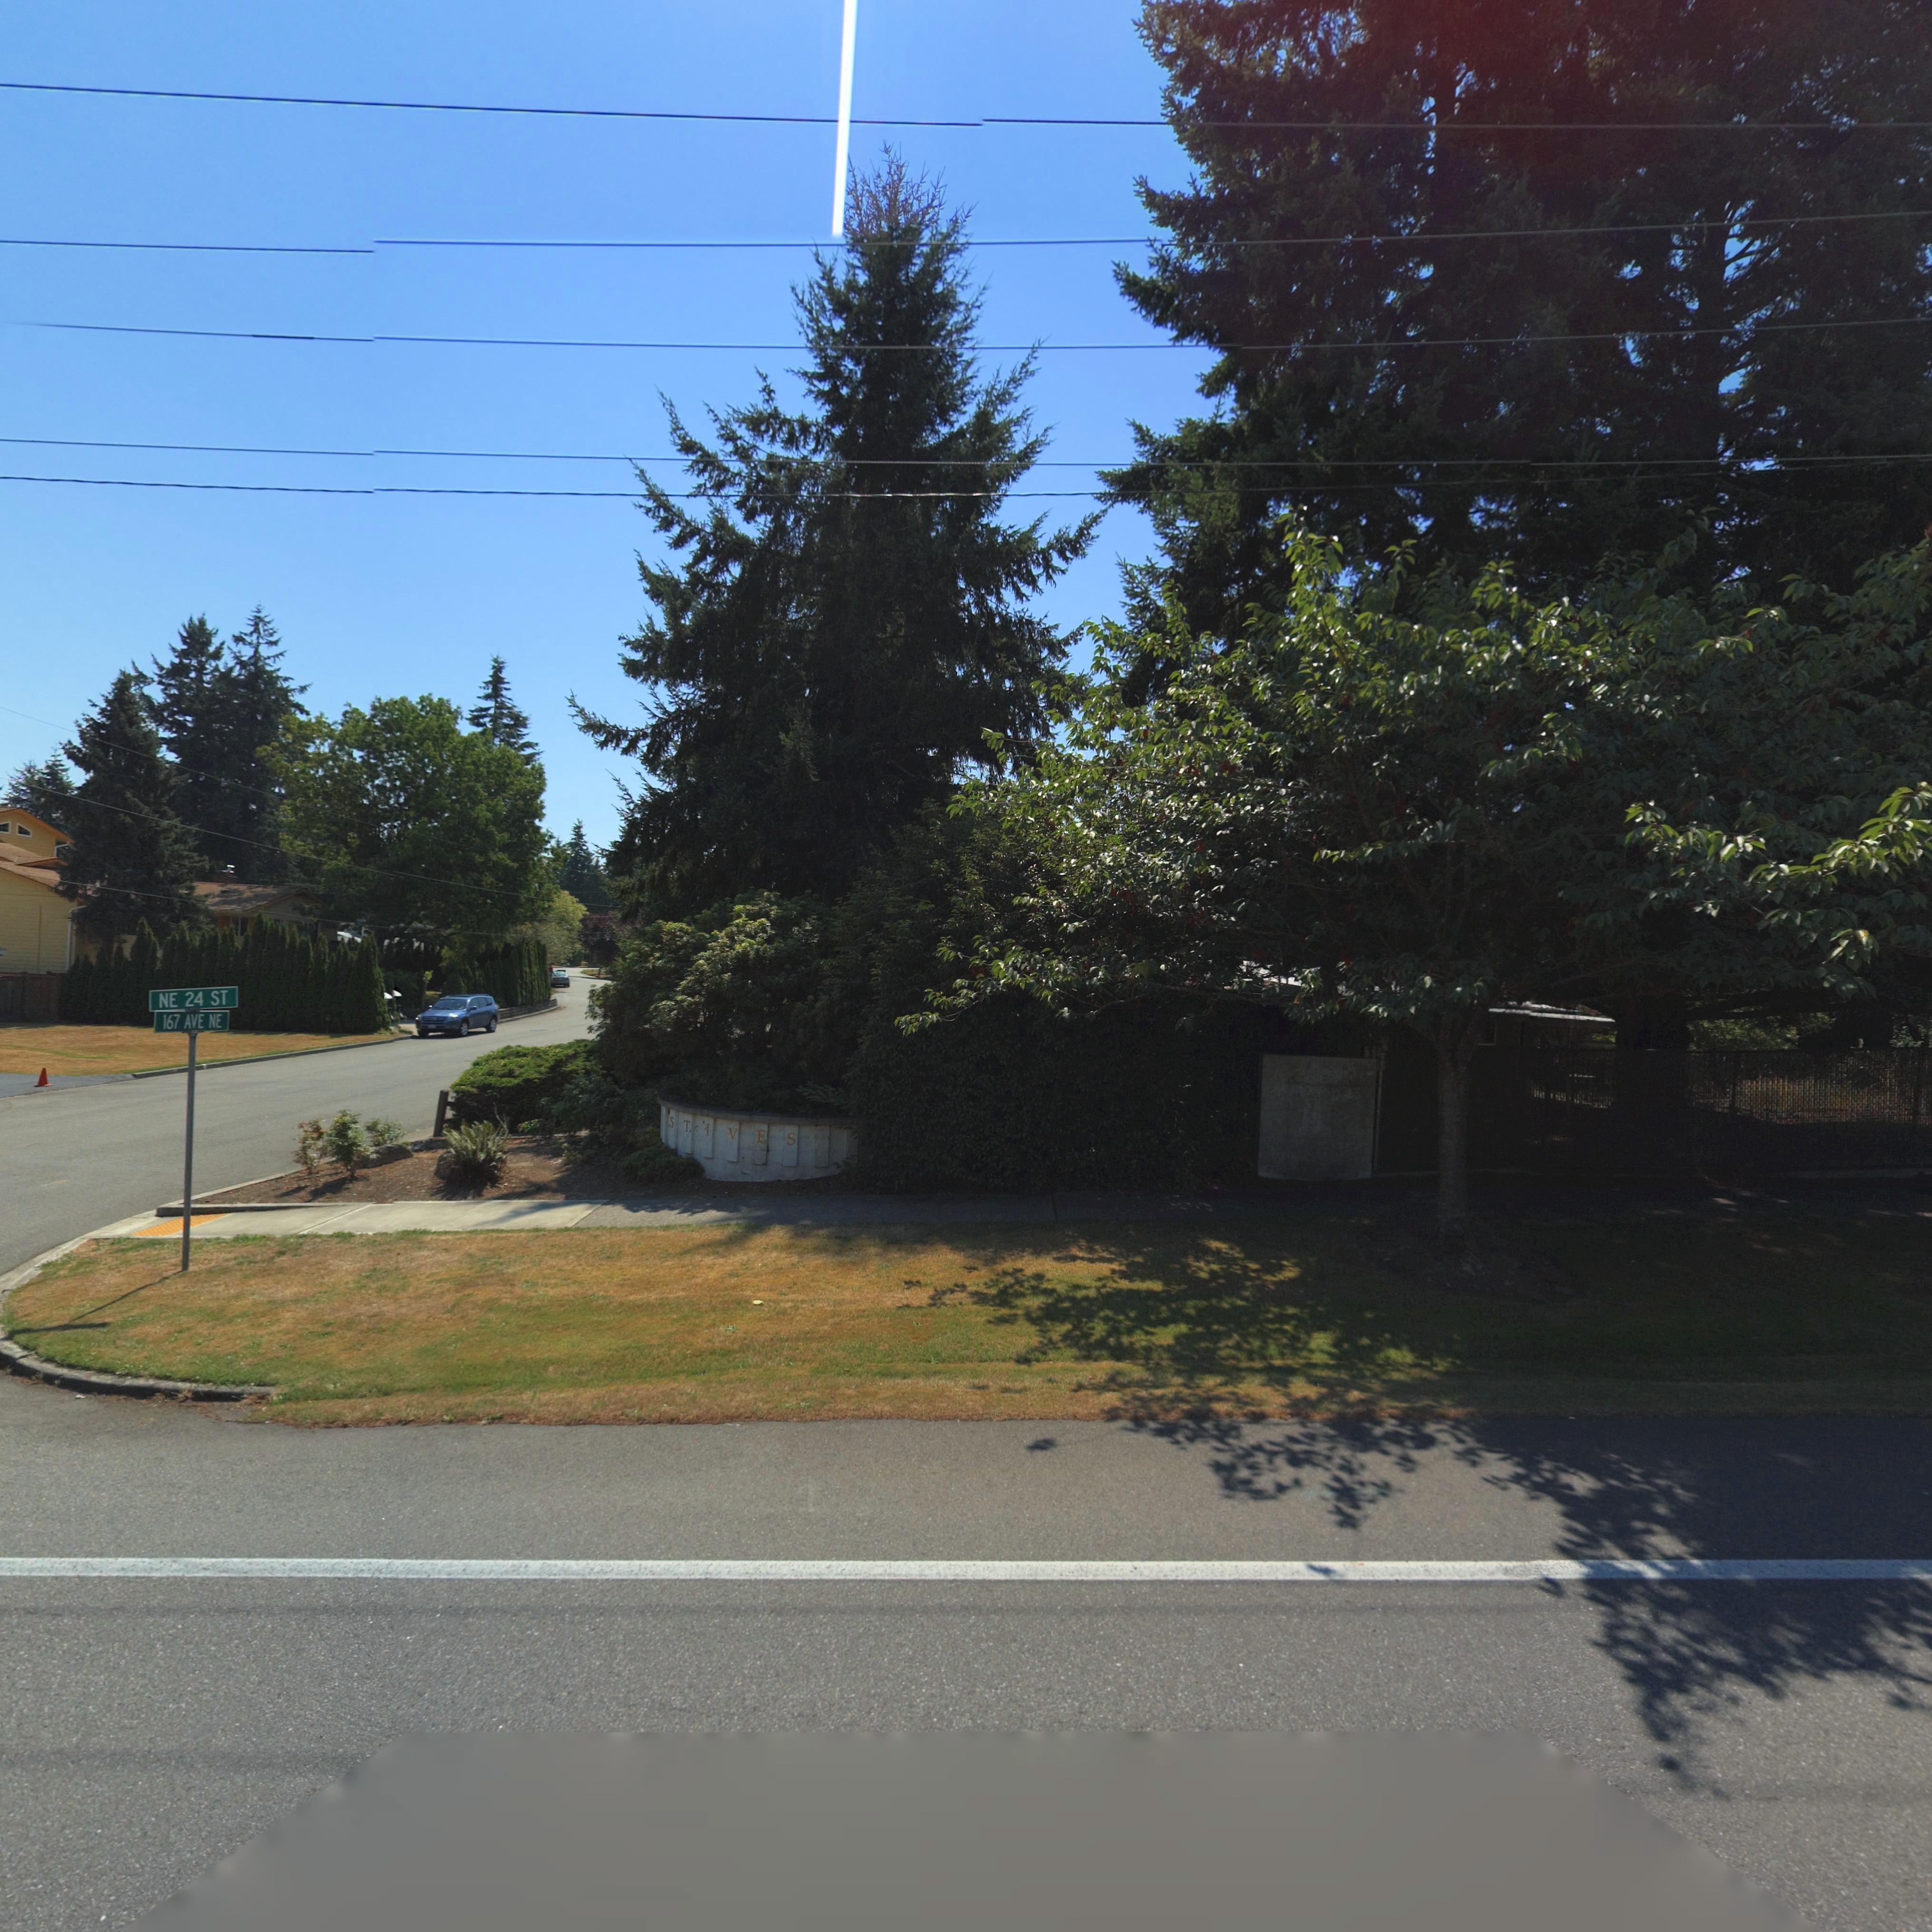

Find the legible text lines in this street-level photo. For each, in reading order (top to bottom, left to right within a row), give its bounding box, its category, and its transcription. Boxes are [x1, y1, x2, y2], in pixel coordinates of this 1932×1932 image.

[158, 990, 229, 1008] StreetName: NE 24 ST
[162, 1014, 222, 1030] StreetName: 167 AVE NE